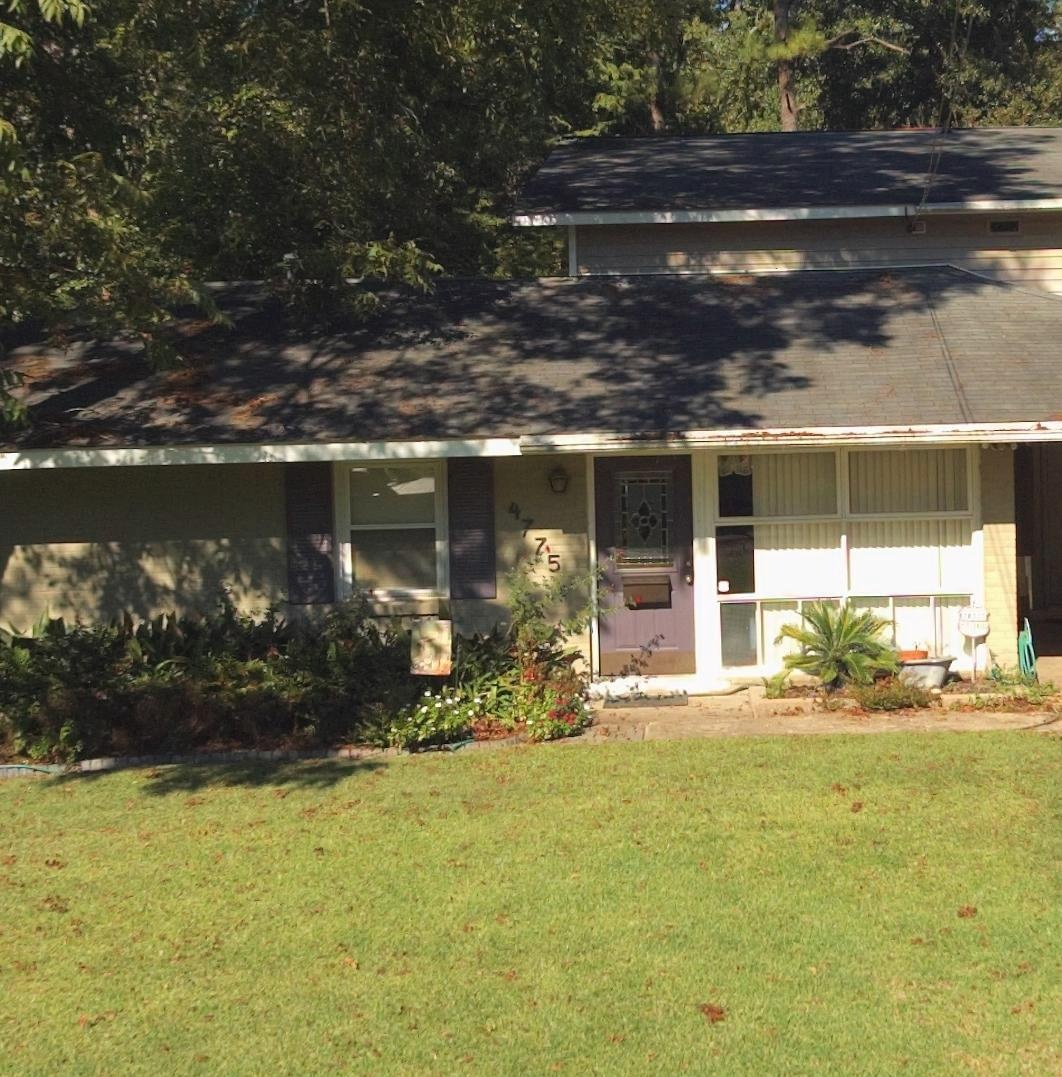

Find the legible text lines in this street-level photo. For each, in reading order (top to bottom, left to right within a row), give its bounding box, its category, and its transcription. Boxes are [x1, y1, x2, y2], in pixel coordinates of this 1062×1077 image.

[505, 500, 563, 576] StreetNumber: 4775